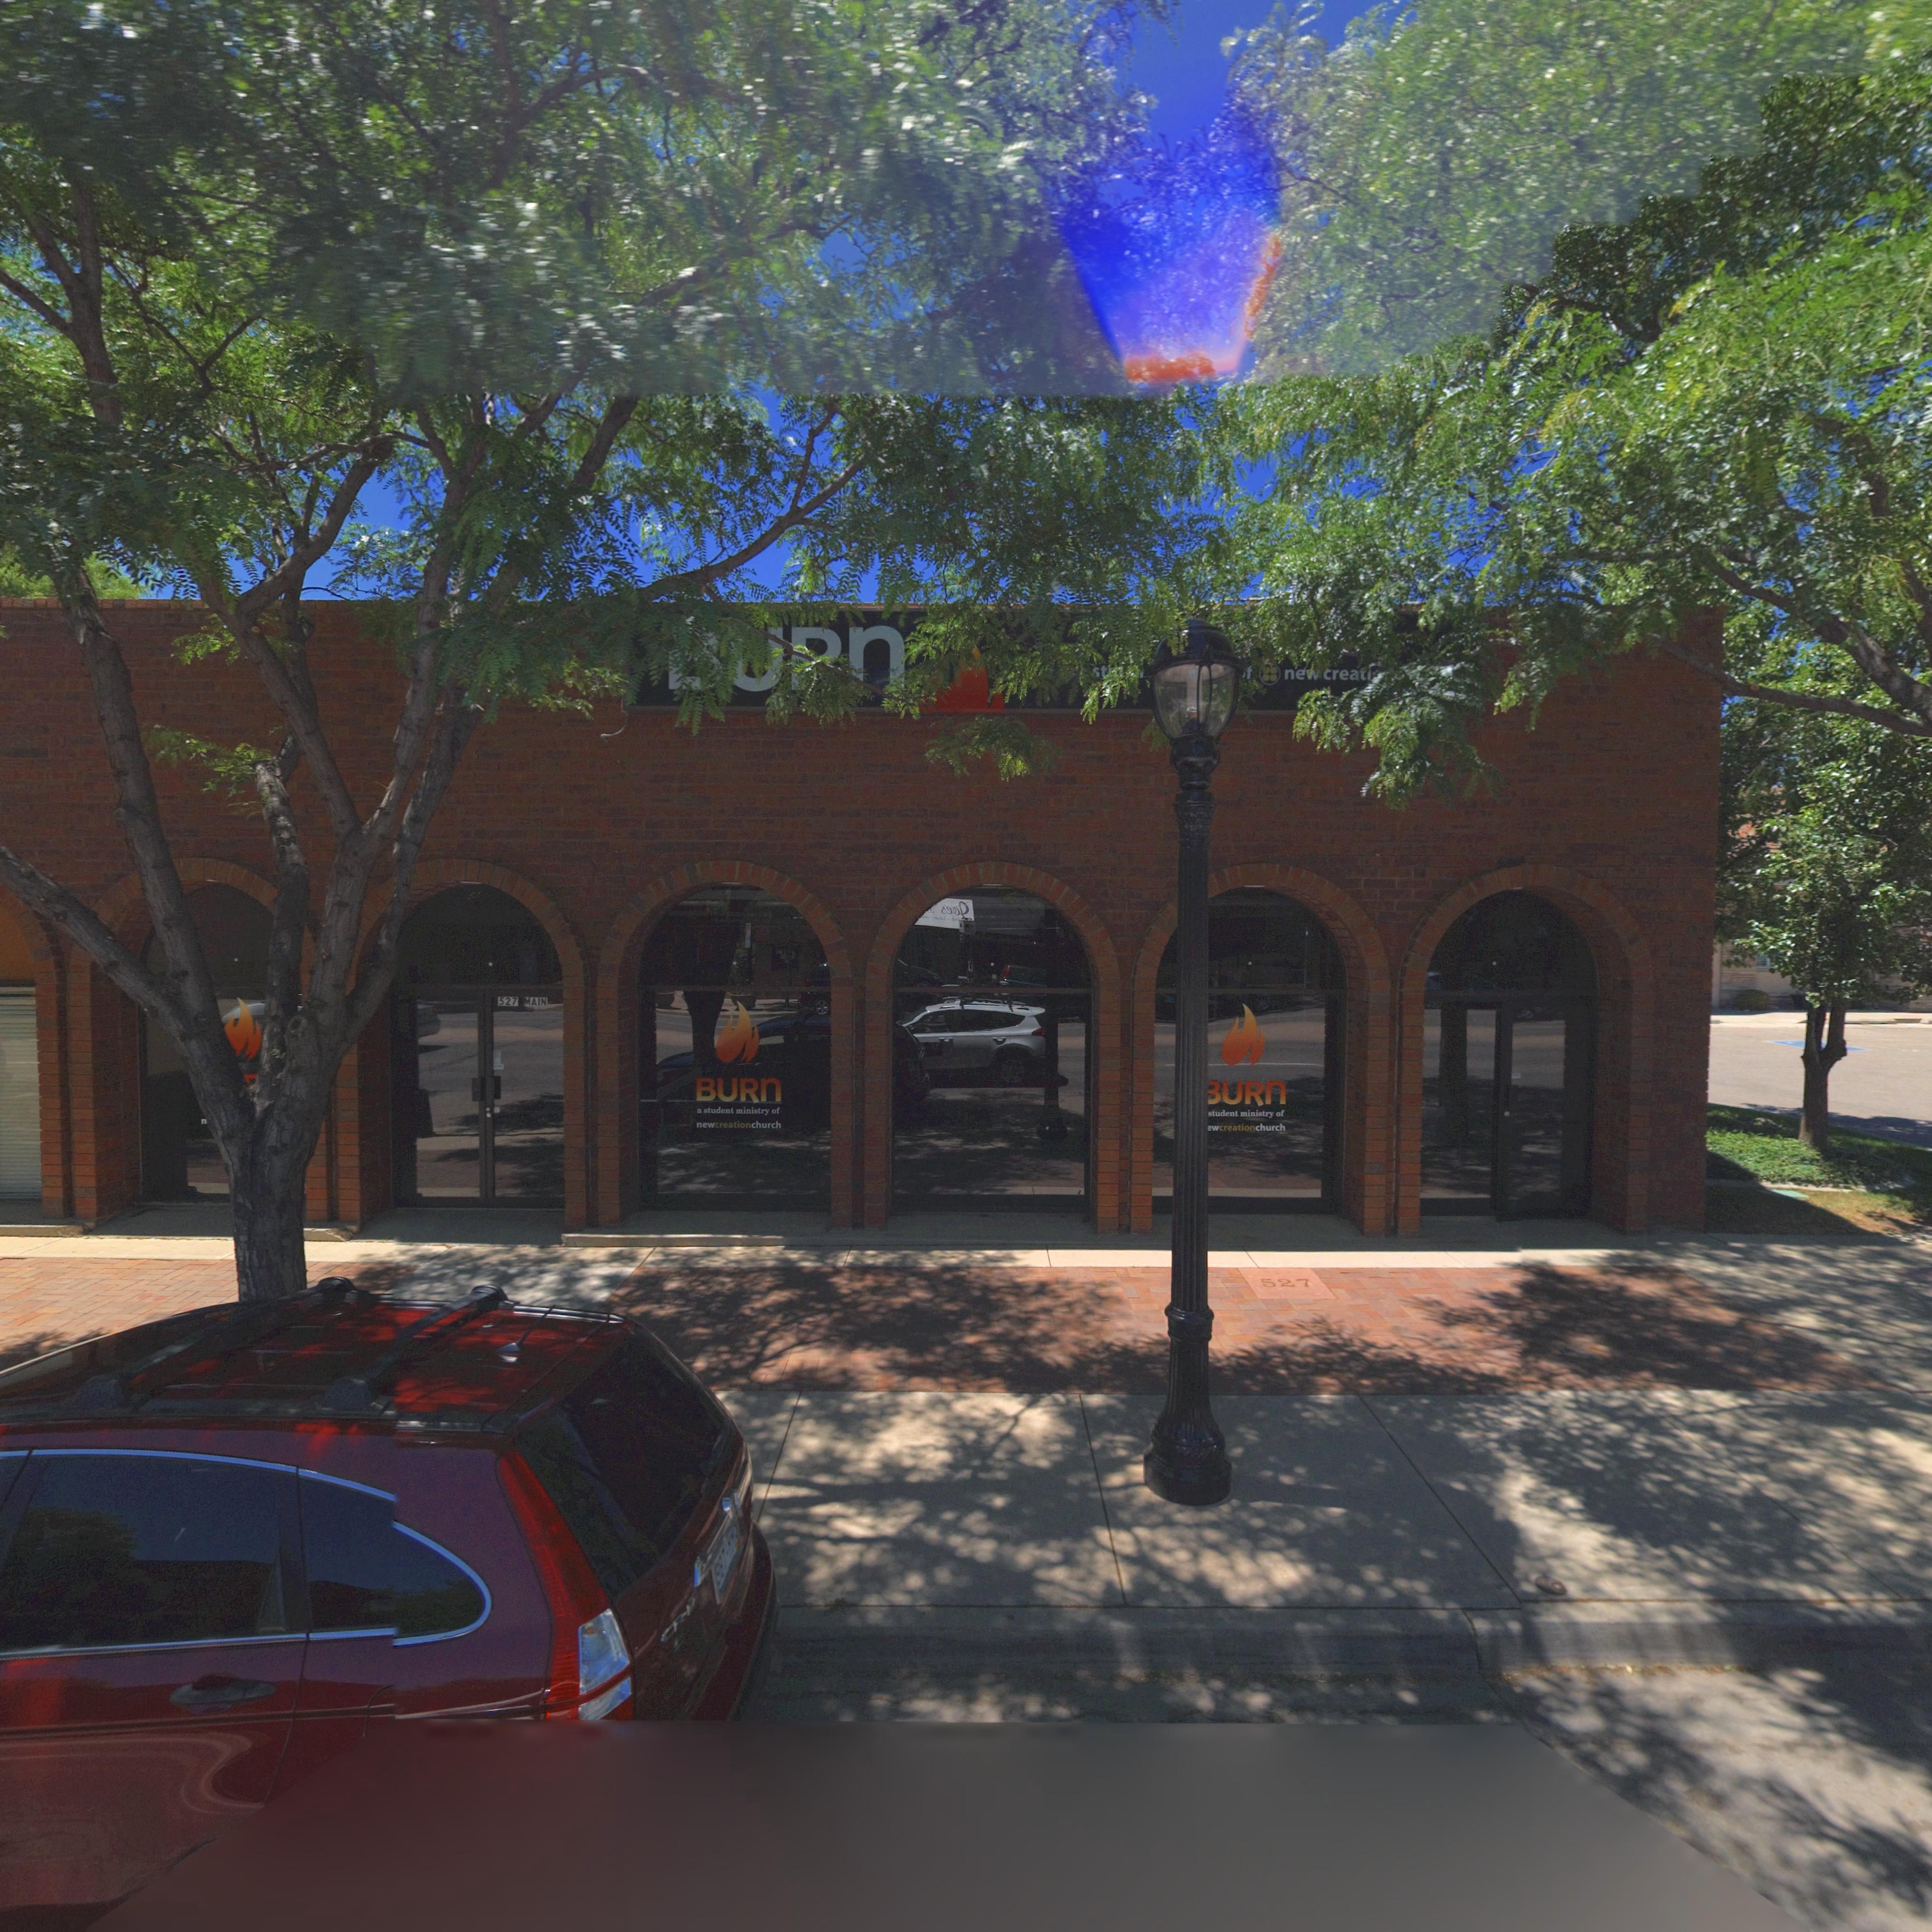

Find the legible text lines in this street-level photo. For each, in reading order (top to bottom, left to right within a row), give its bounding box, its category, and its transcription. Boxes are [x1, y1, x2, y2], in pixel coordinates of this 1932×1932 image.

[498, 995, 518, 1006] StreetNumber: 527
[523, 996, 547, 1007] StreetName: MAIN
[695, 1076, 782, 1104] BusinessName: BURn
[1221, 1080, 1286, 1107] BusinessName: URn
[1258, 1277, 1310, 1289] StreetNumber: 527